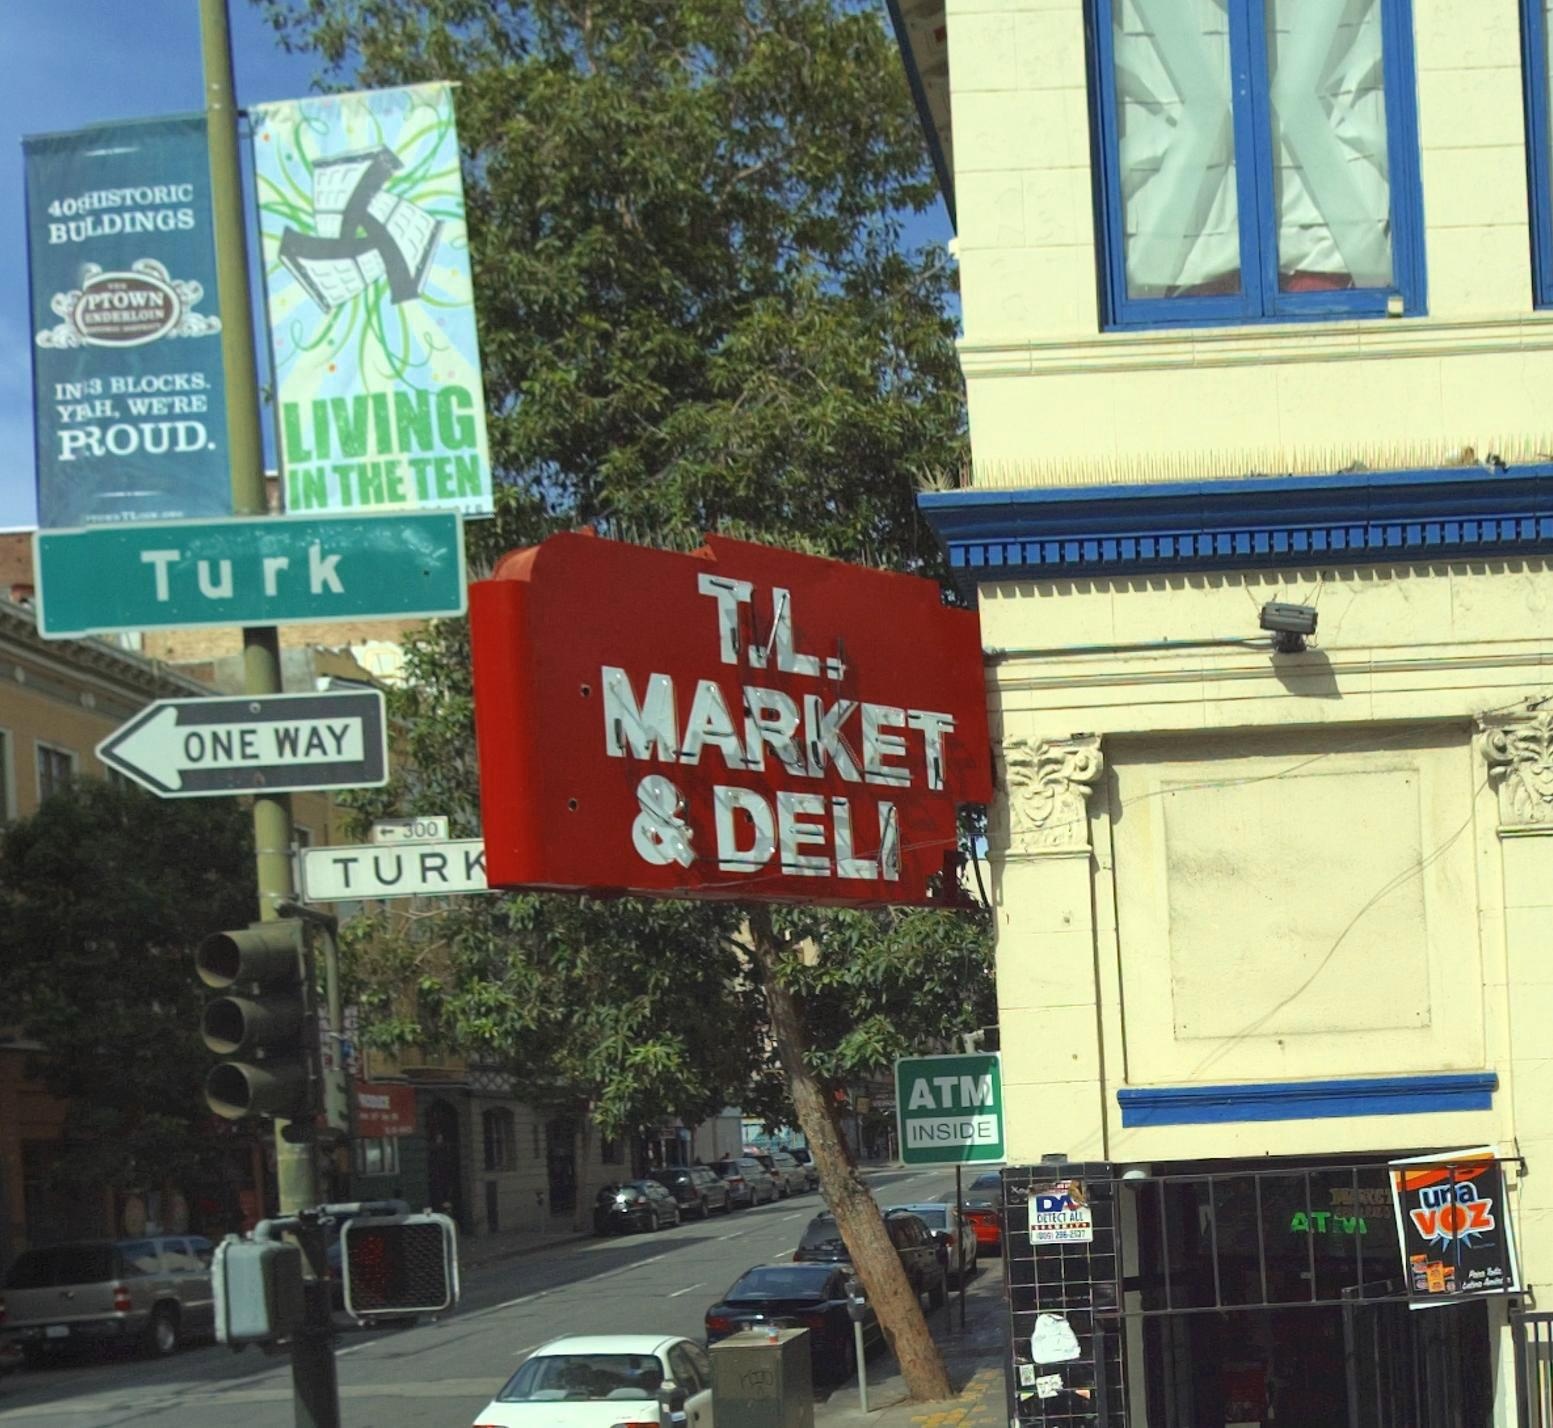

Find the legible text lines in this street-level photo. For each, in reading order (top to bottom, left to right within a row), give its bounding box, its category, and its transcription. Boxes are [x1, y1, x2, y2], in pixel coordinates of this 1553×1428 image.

[42, 180, 198, 223] None: 40*HISTORIC
[44, 206, 199, 247] None: BULDINGS
[83, 288, 167, 313] None: PTOWN
[47, 369, 215, 405] None: IN 3 BLOCKS.
[49, 392, 212, 426] None: Y*H, WE'RE
[53, 417, 219, 464] None: P*OUD.
[278, 381, 481, 467] None: LIVING
[284, 450, 486, 514] None: IN THE TEN
[133, 534, 349, 604] StreetName: Turk
[693, 565, 850, 683] BusinessName: T.L.
[177, 720, 354, 766] None: ONE WAY
[597, 660, 959, 797] BusinessName: MARKET
[377, 819, 441, 843] StreetNumber: <-300
[623, 767, 908, 888] BusinessName: & DELI
[329, 846, 488, 890] StreetName: TURK
[904, 1069, 998, 1114] None: ATM
[908, 1118, 995, 1145] None: INSIDE
[1032, 1193, 1081, 1216] None: DA
[1035, 1209, 1085, 1224] None: DETECT ALL
[1285, 1208, 1370, 1236] None: AT*
[1419, 1181, 1477, 1210] None: u*a
[1411, 1200, 1492, 1238] None: v*z